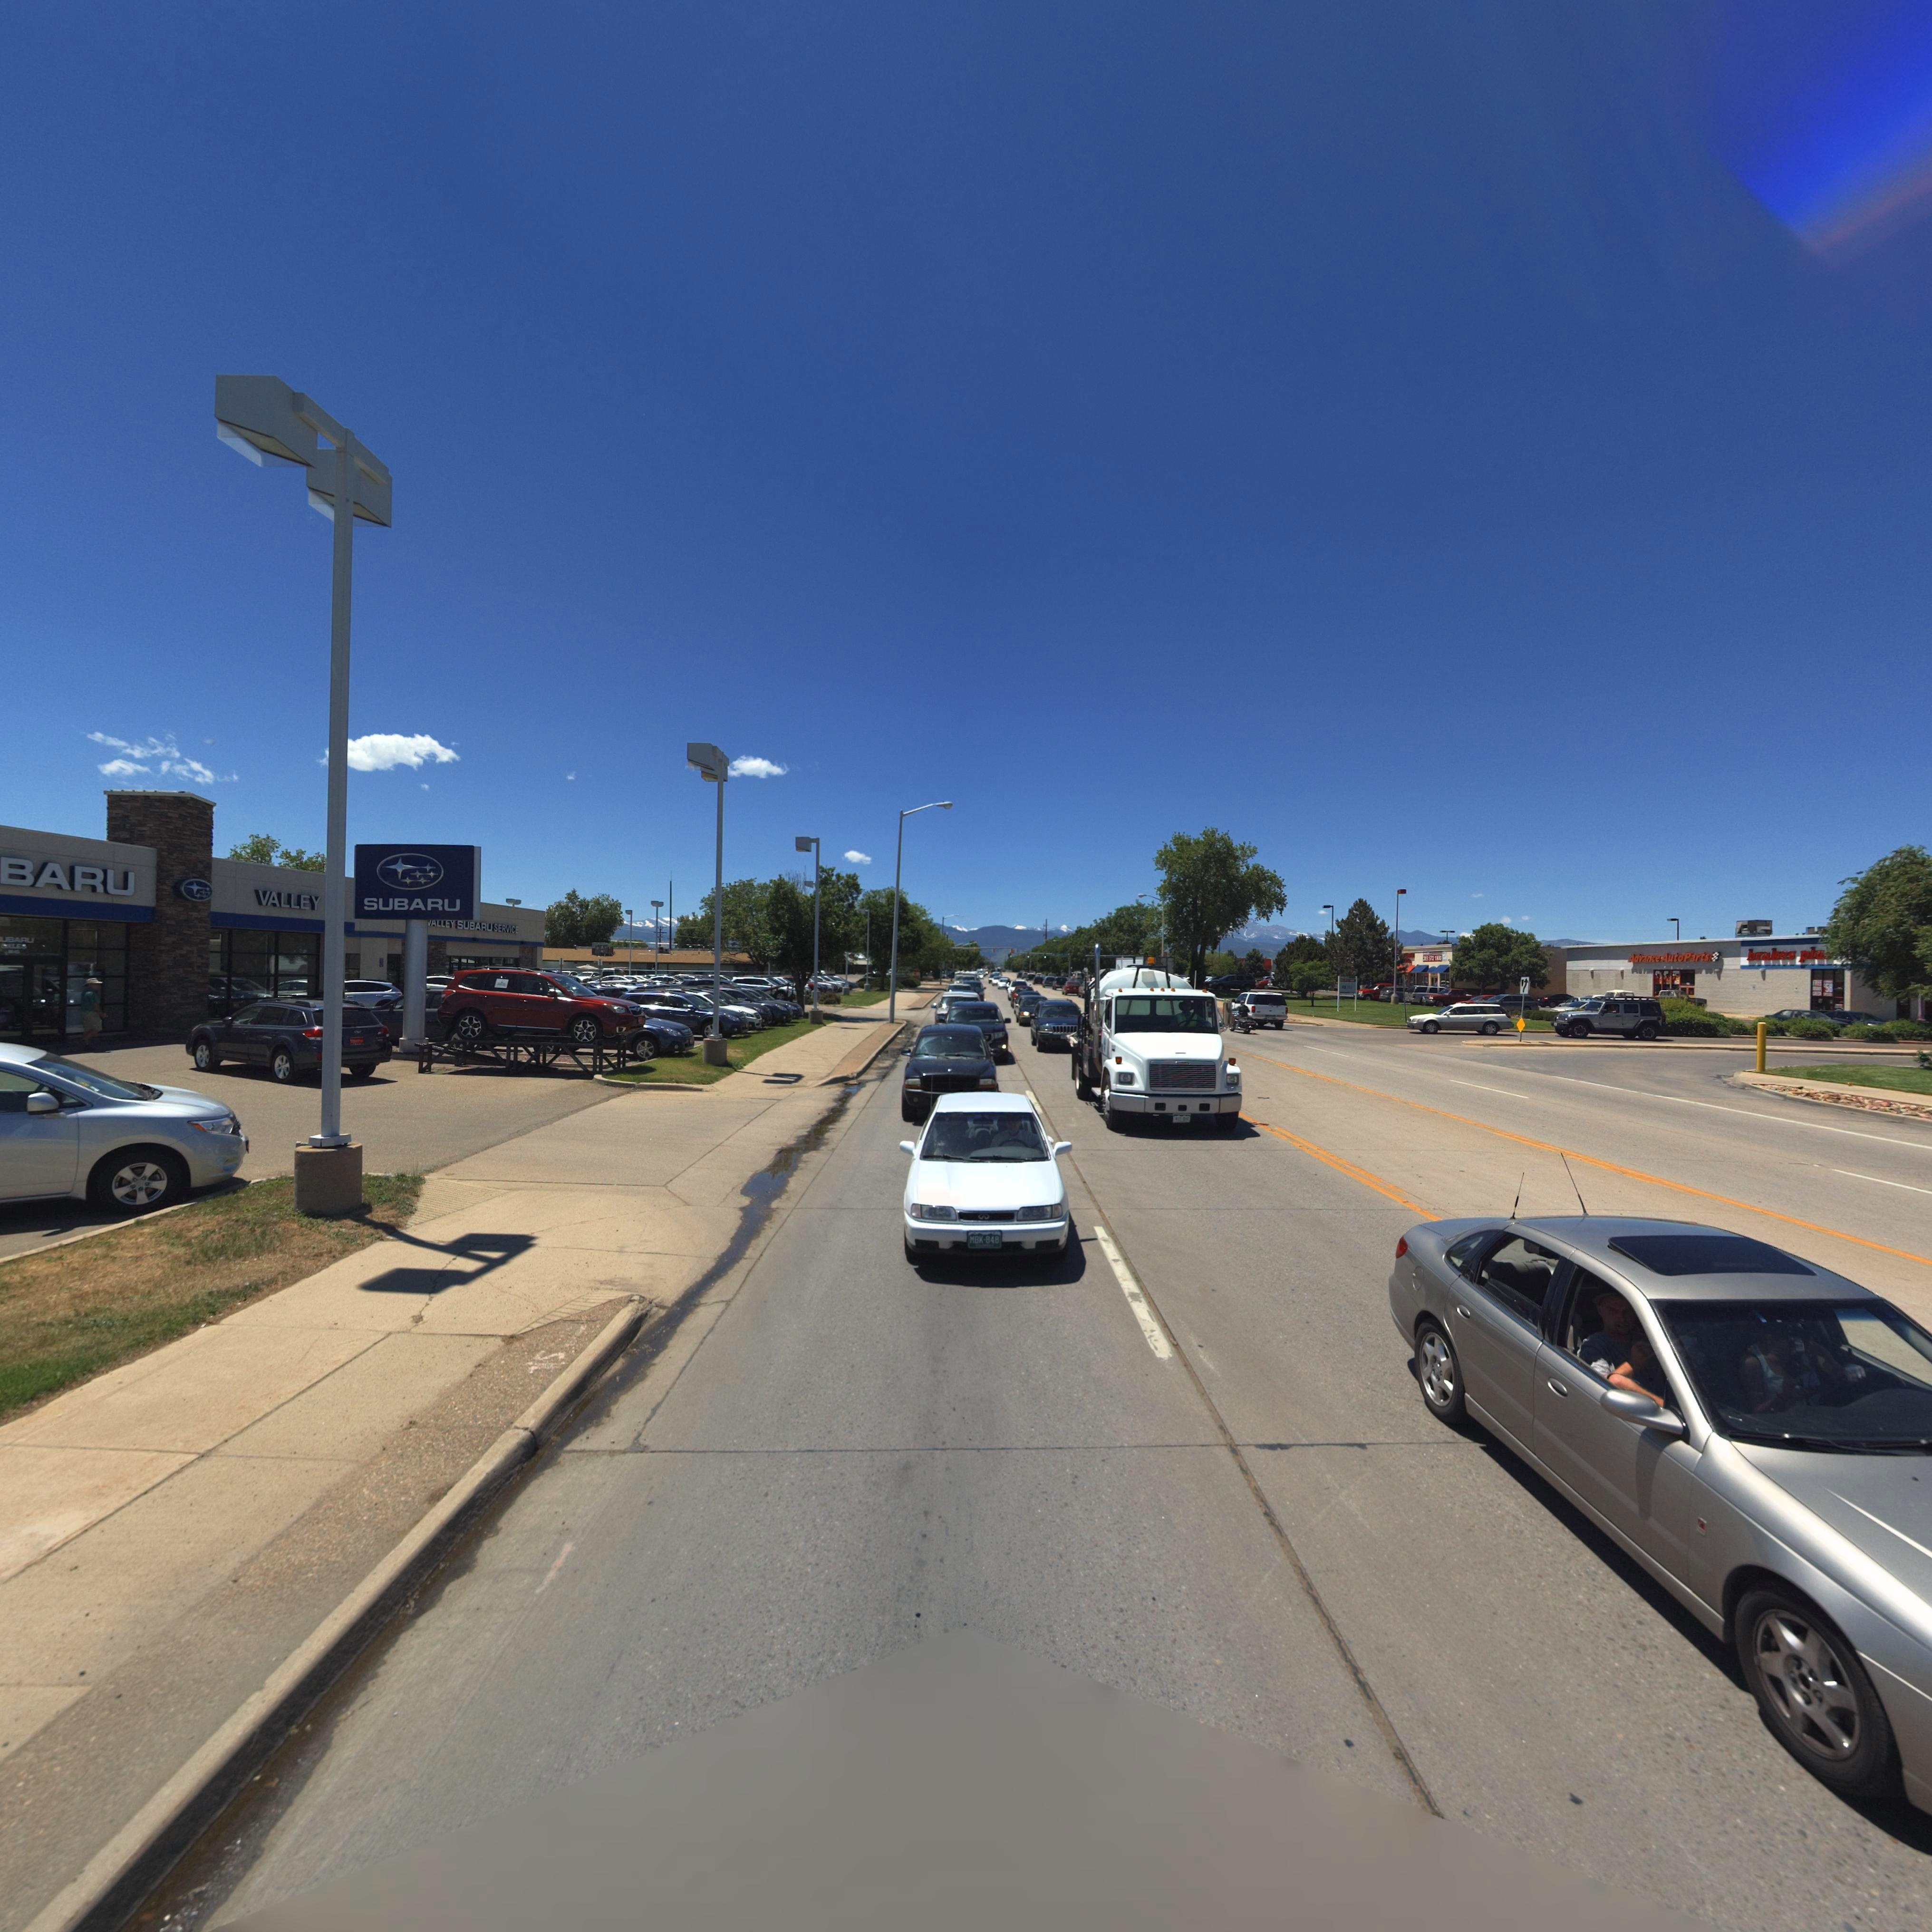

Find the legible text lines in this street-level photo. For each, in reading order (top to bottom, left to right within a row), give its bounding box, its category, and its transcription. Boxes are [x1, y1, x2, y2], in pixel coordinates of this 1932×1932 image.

[0, 857, 135, 896] BusinessName: BARU
[256, 889, 322, 911] BusinessName: VALLEY
[363, 897, 461, 911] BusinessName: SUBARU
[425, 917, 519, 934] BusinessName: ****EY SUBARU SERVICE
[1, 943, 27, 949] BusinessName: SALES
[0, 936, 34, 943] BusinessName: UBARU
[1628, 952, 1711, 963] BusinessName: Advance Auto Parts
[1747, 946, 1825, 962] BusinessName: brakes plu